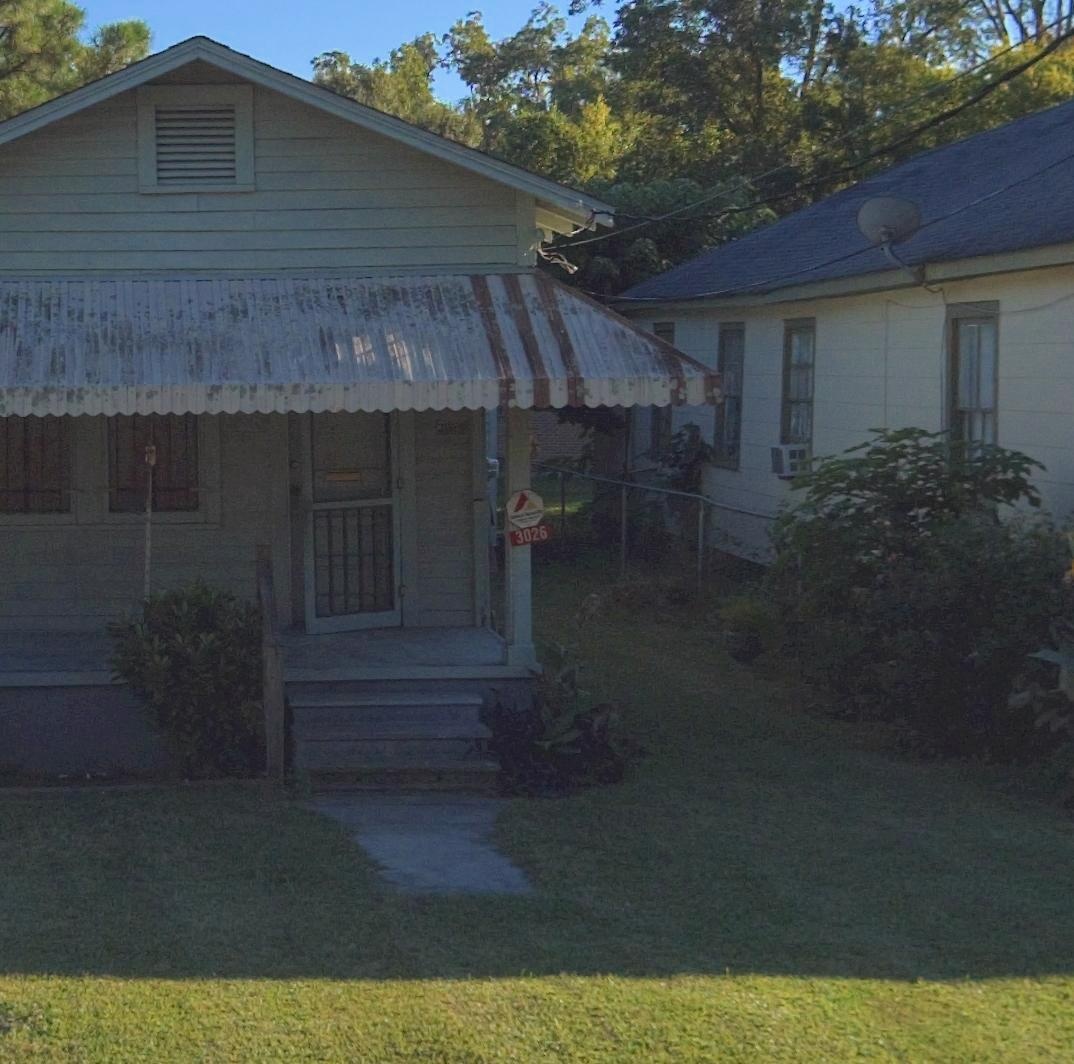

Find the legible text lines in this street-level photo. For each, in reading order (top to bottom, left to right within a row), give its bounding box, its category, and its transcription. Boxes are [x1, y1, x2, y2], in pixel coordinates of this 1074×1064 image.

[512, 522, 551, 548] StreetNumber: 3026